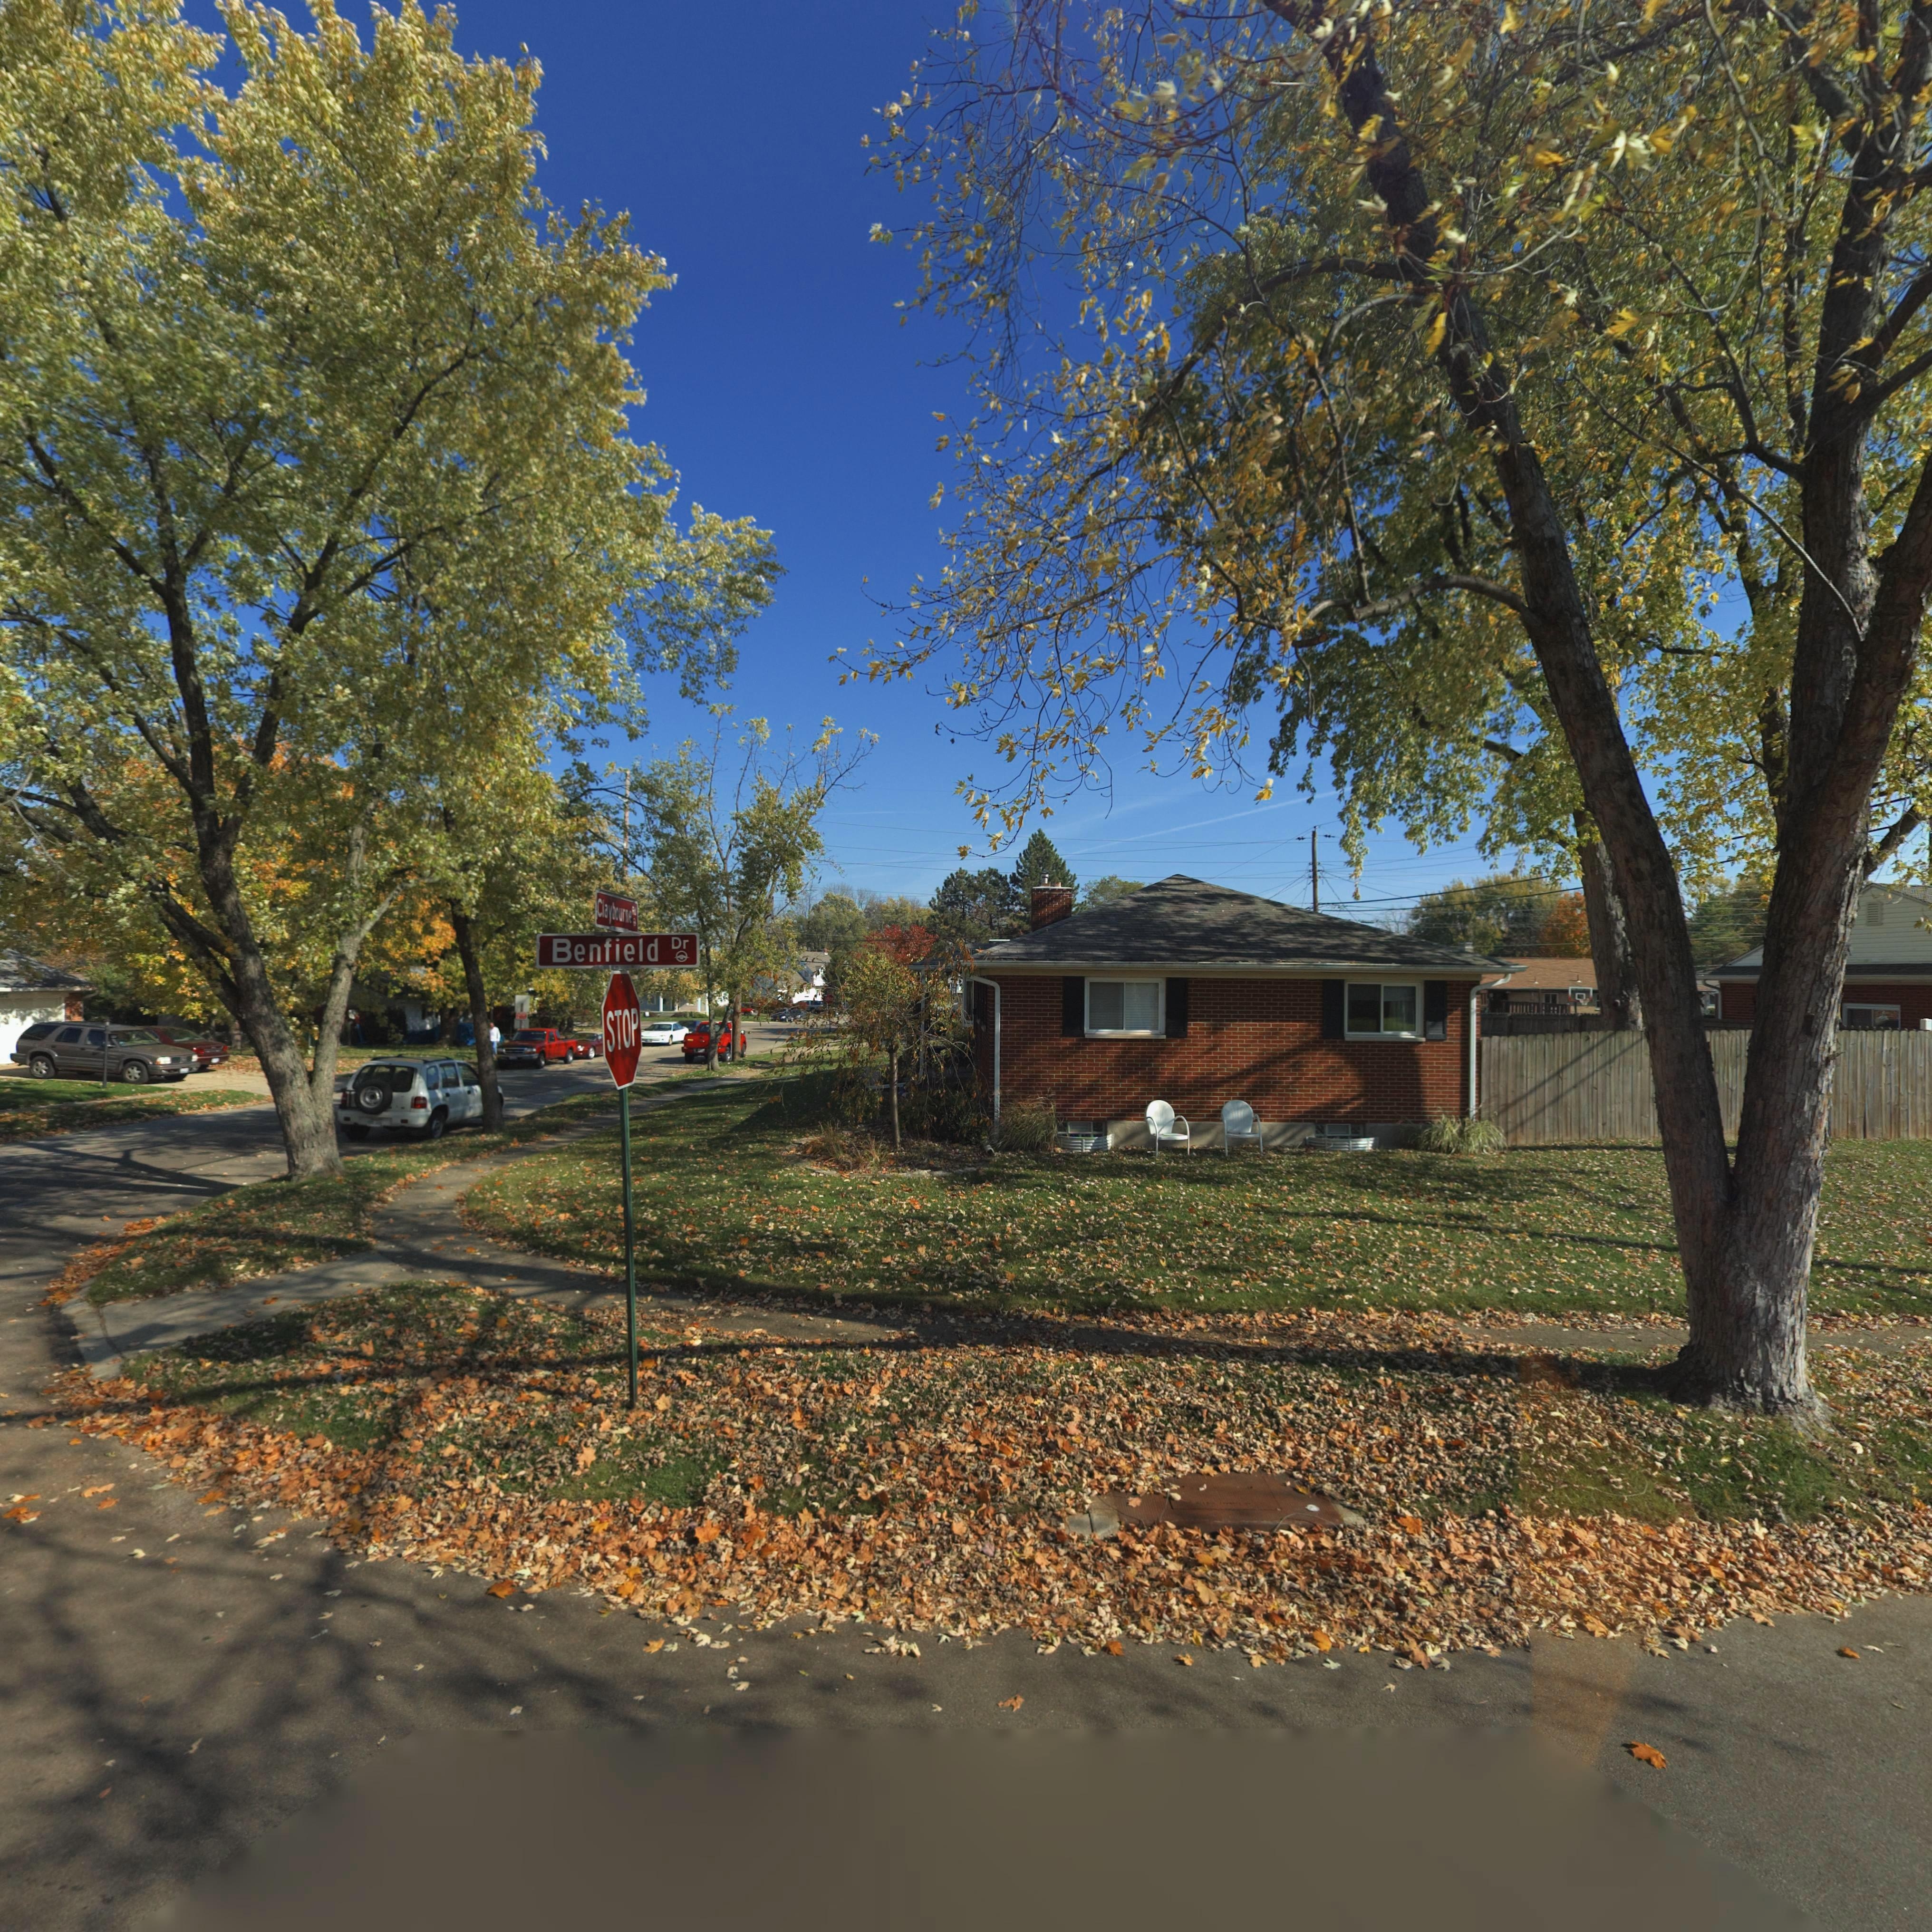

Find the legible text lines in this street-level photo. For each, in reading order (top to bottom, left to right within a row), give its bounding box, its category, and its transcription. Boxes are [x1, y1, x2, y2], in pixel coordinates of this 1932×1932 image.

[597, 897, 638, 925] StreetName: Claybourne **
[551, 935, 691, 964] StreetName: Benfield Dr